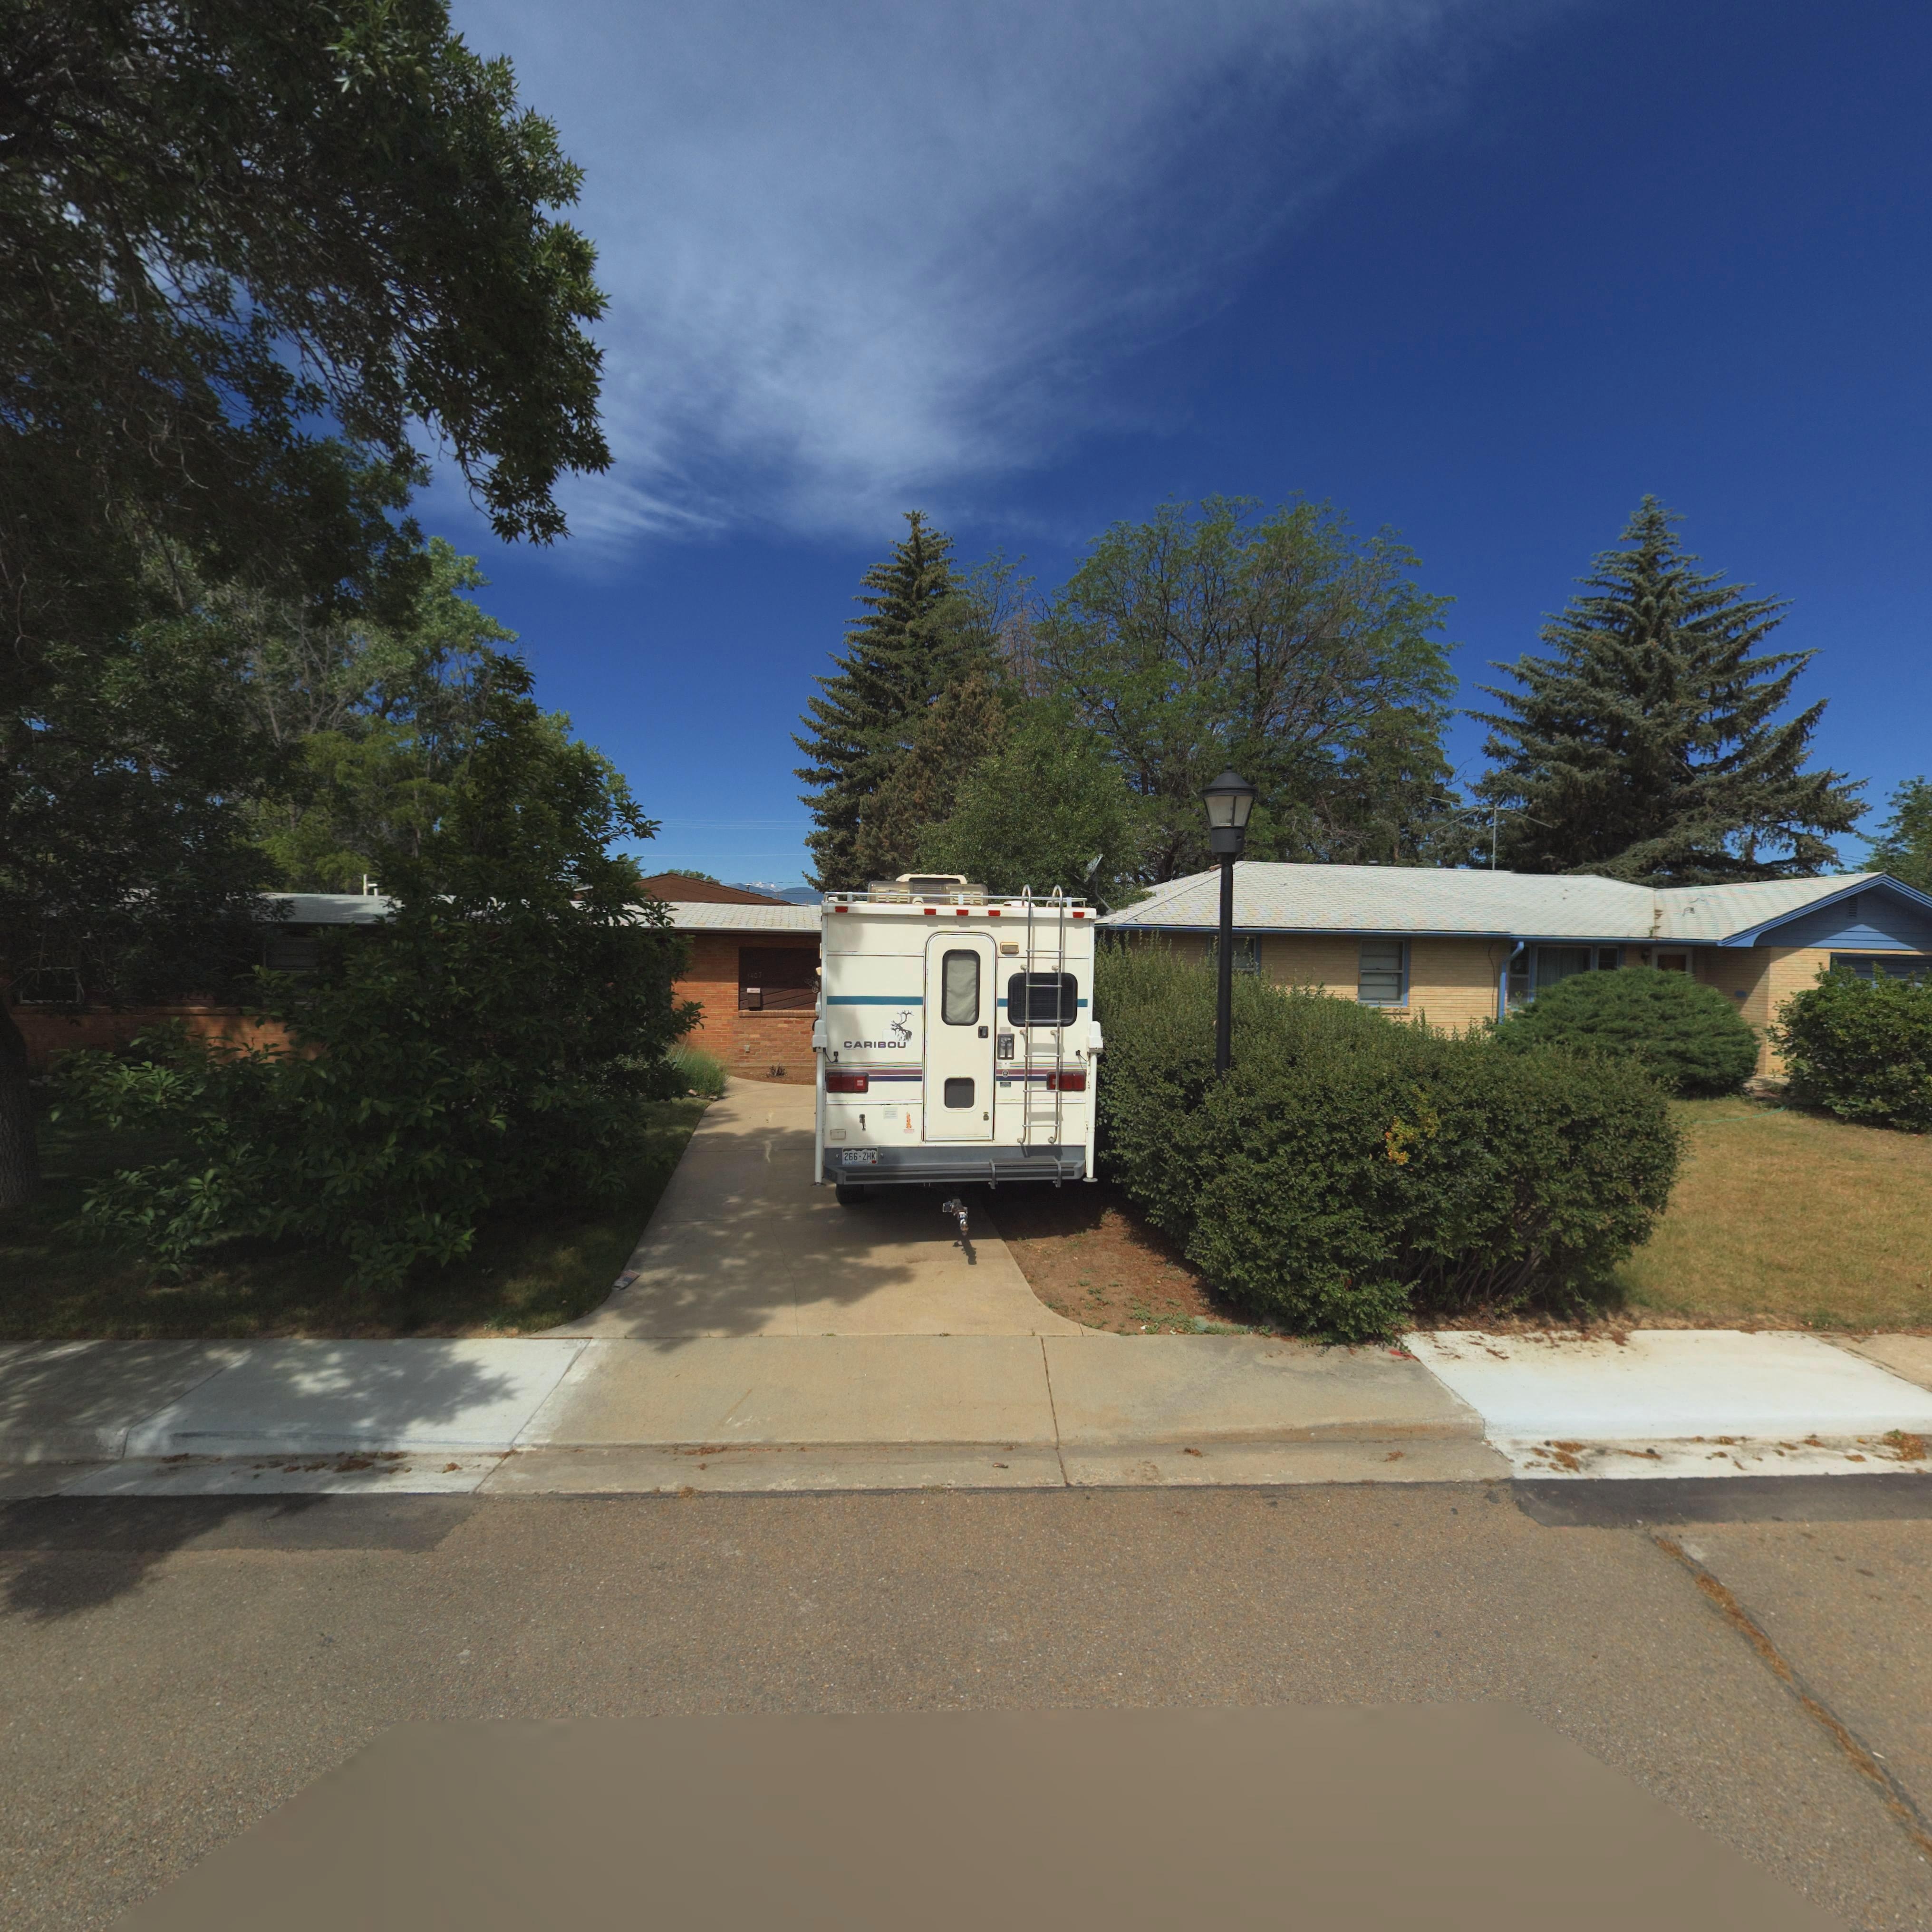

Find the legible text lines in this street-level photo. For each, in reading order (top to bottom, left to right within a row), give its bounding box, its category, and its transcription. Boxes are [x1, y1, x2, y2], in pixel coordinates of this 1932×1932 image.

[747, 971, 762, 981] StreetNumber: 1407